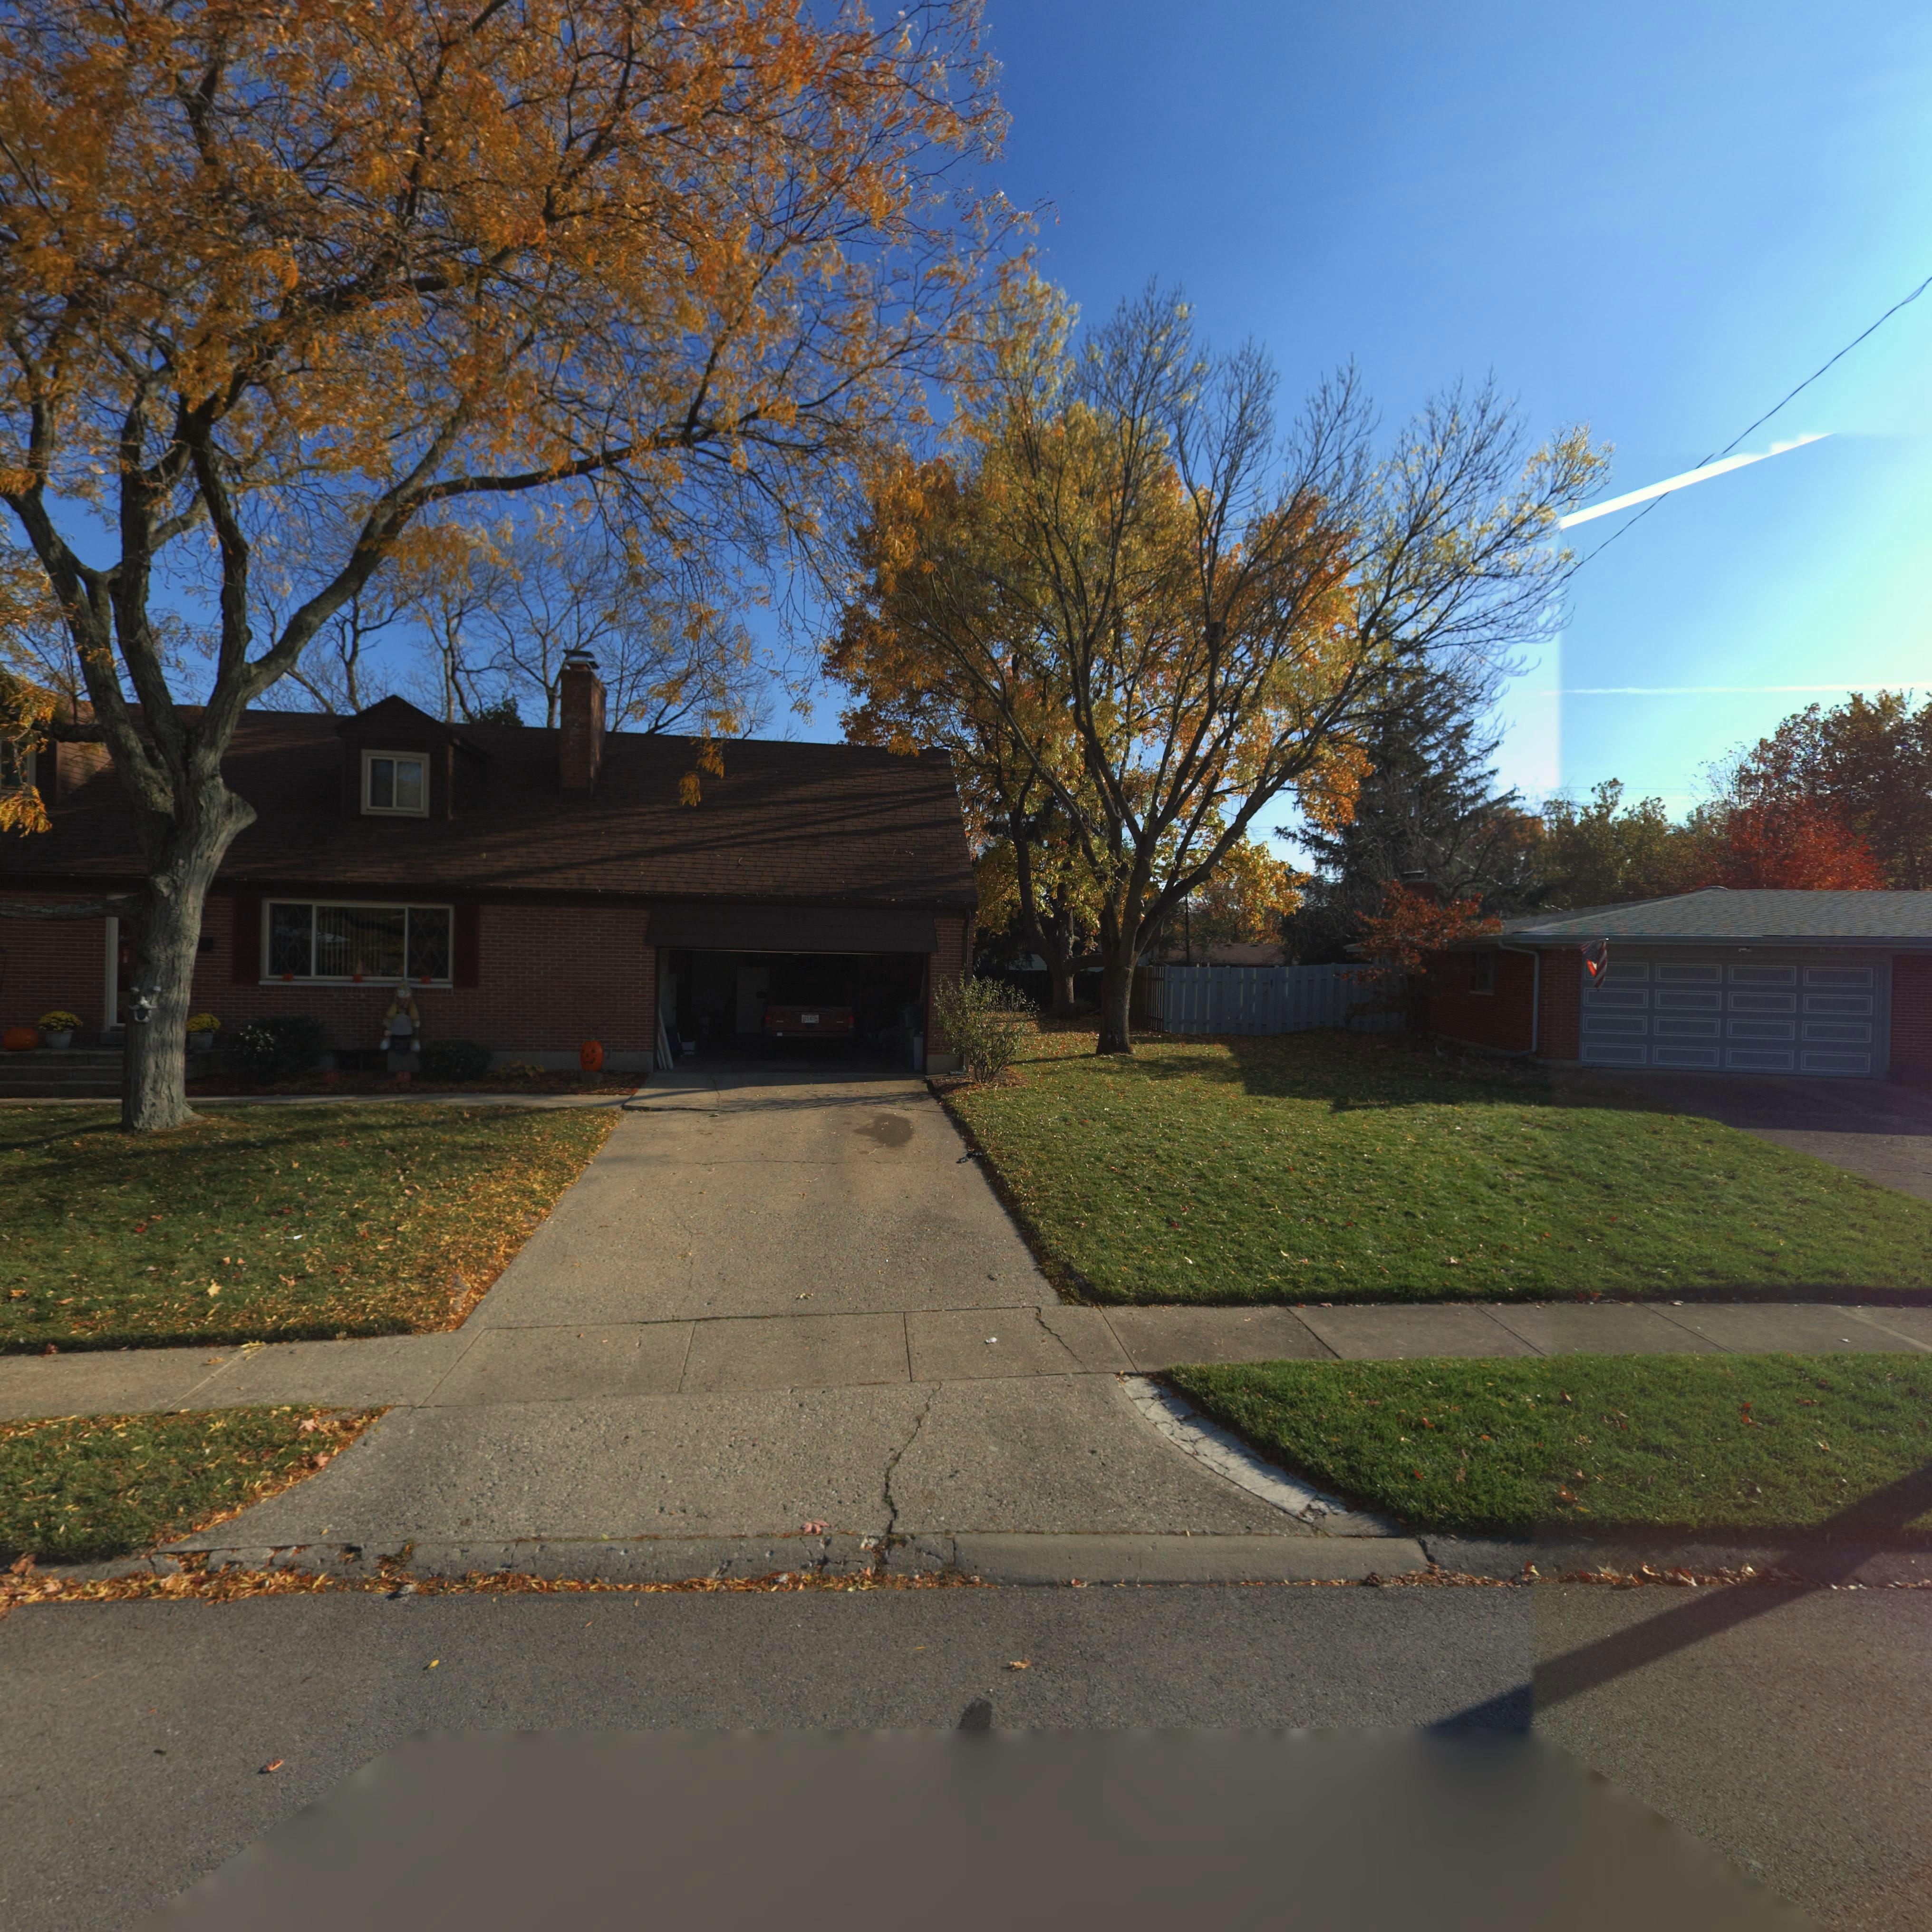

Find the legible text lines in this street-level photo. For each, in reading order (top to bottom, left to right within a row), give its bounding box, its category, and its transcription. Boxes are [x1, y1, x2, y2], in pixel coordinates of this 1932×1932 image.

[1817, 944, 1843, 954] StreetNumber: 658